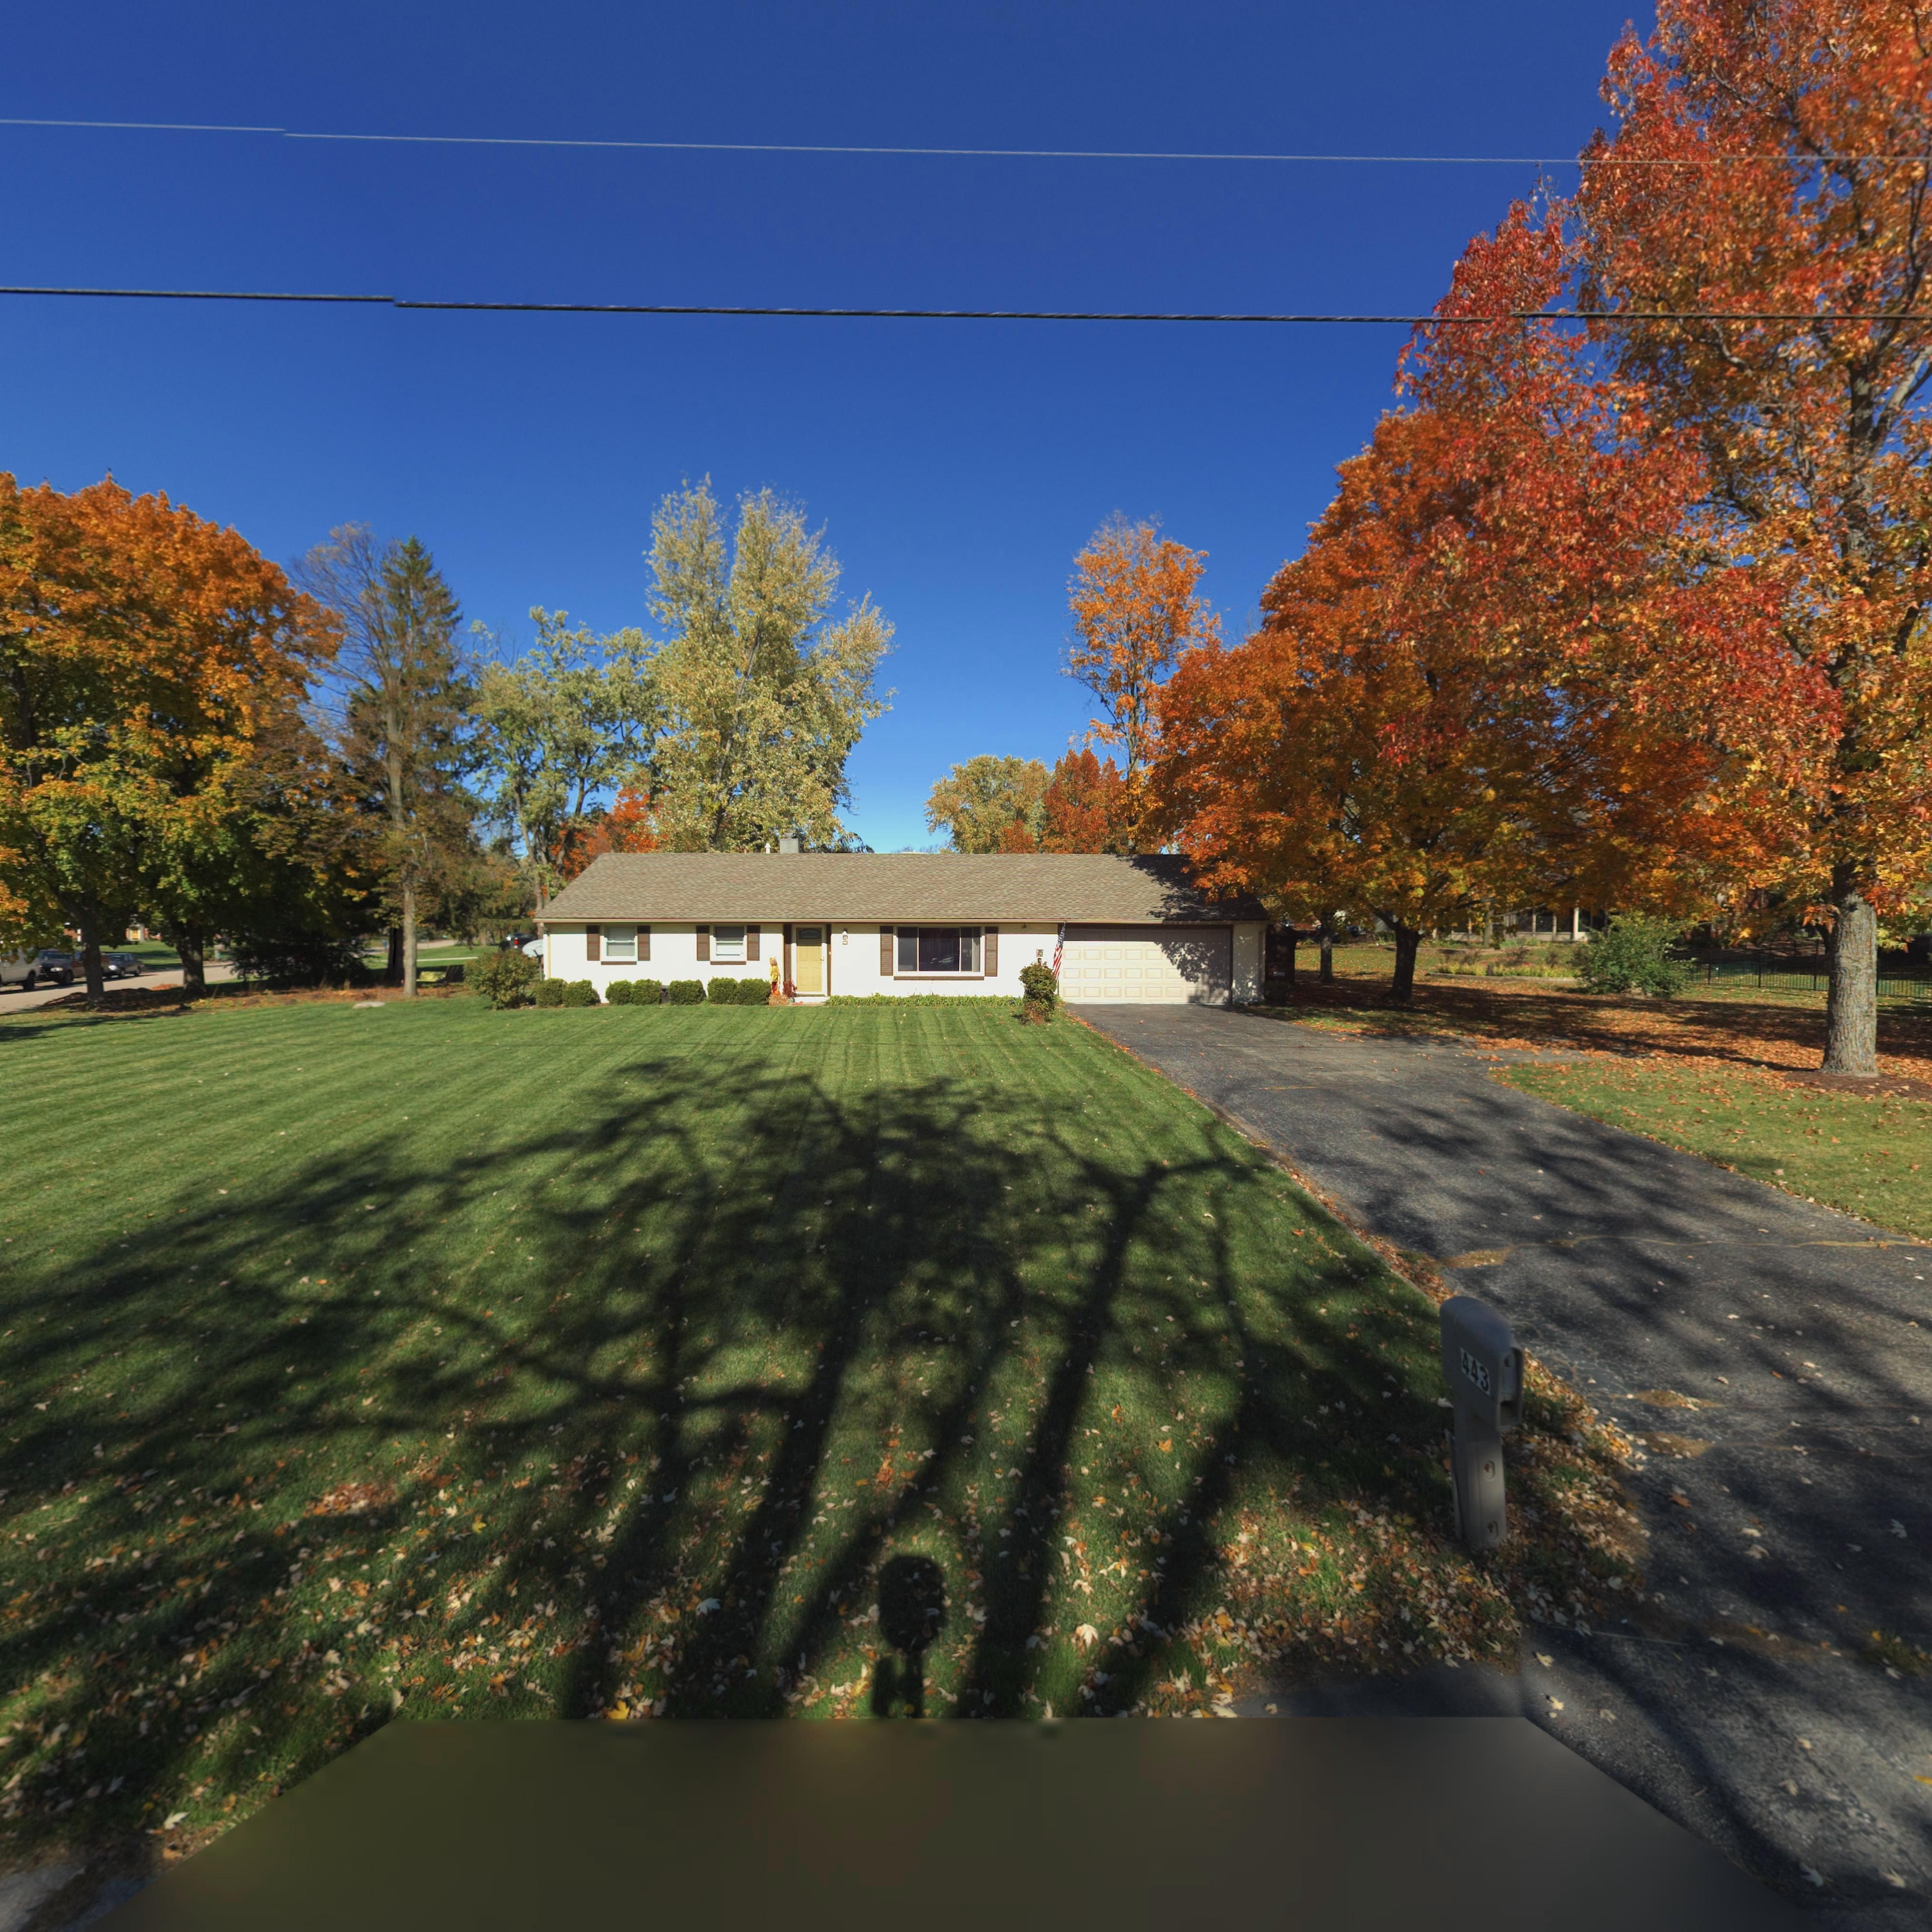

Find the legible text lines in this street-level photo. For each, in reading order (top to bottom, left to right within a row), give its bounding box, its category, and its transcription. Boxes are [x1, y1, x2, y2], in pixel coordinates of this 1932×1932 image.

[1461, 1350, 1489, 1394] StreetNumber: 443